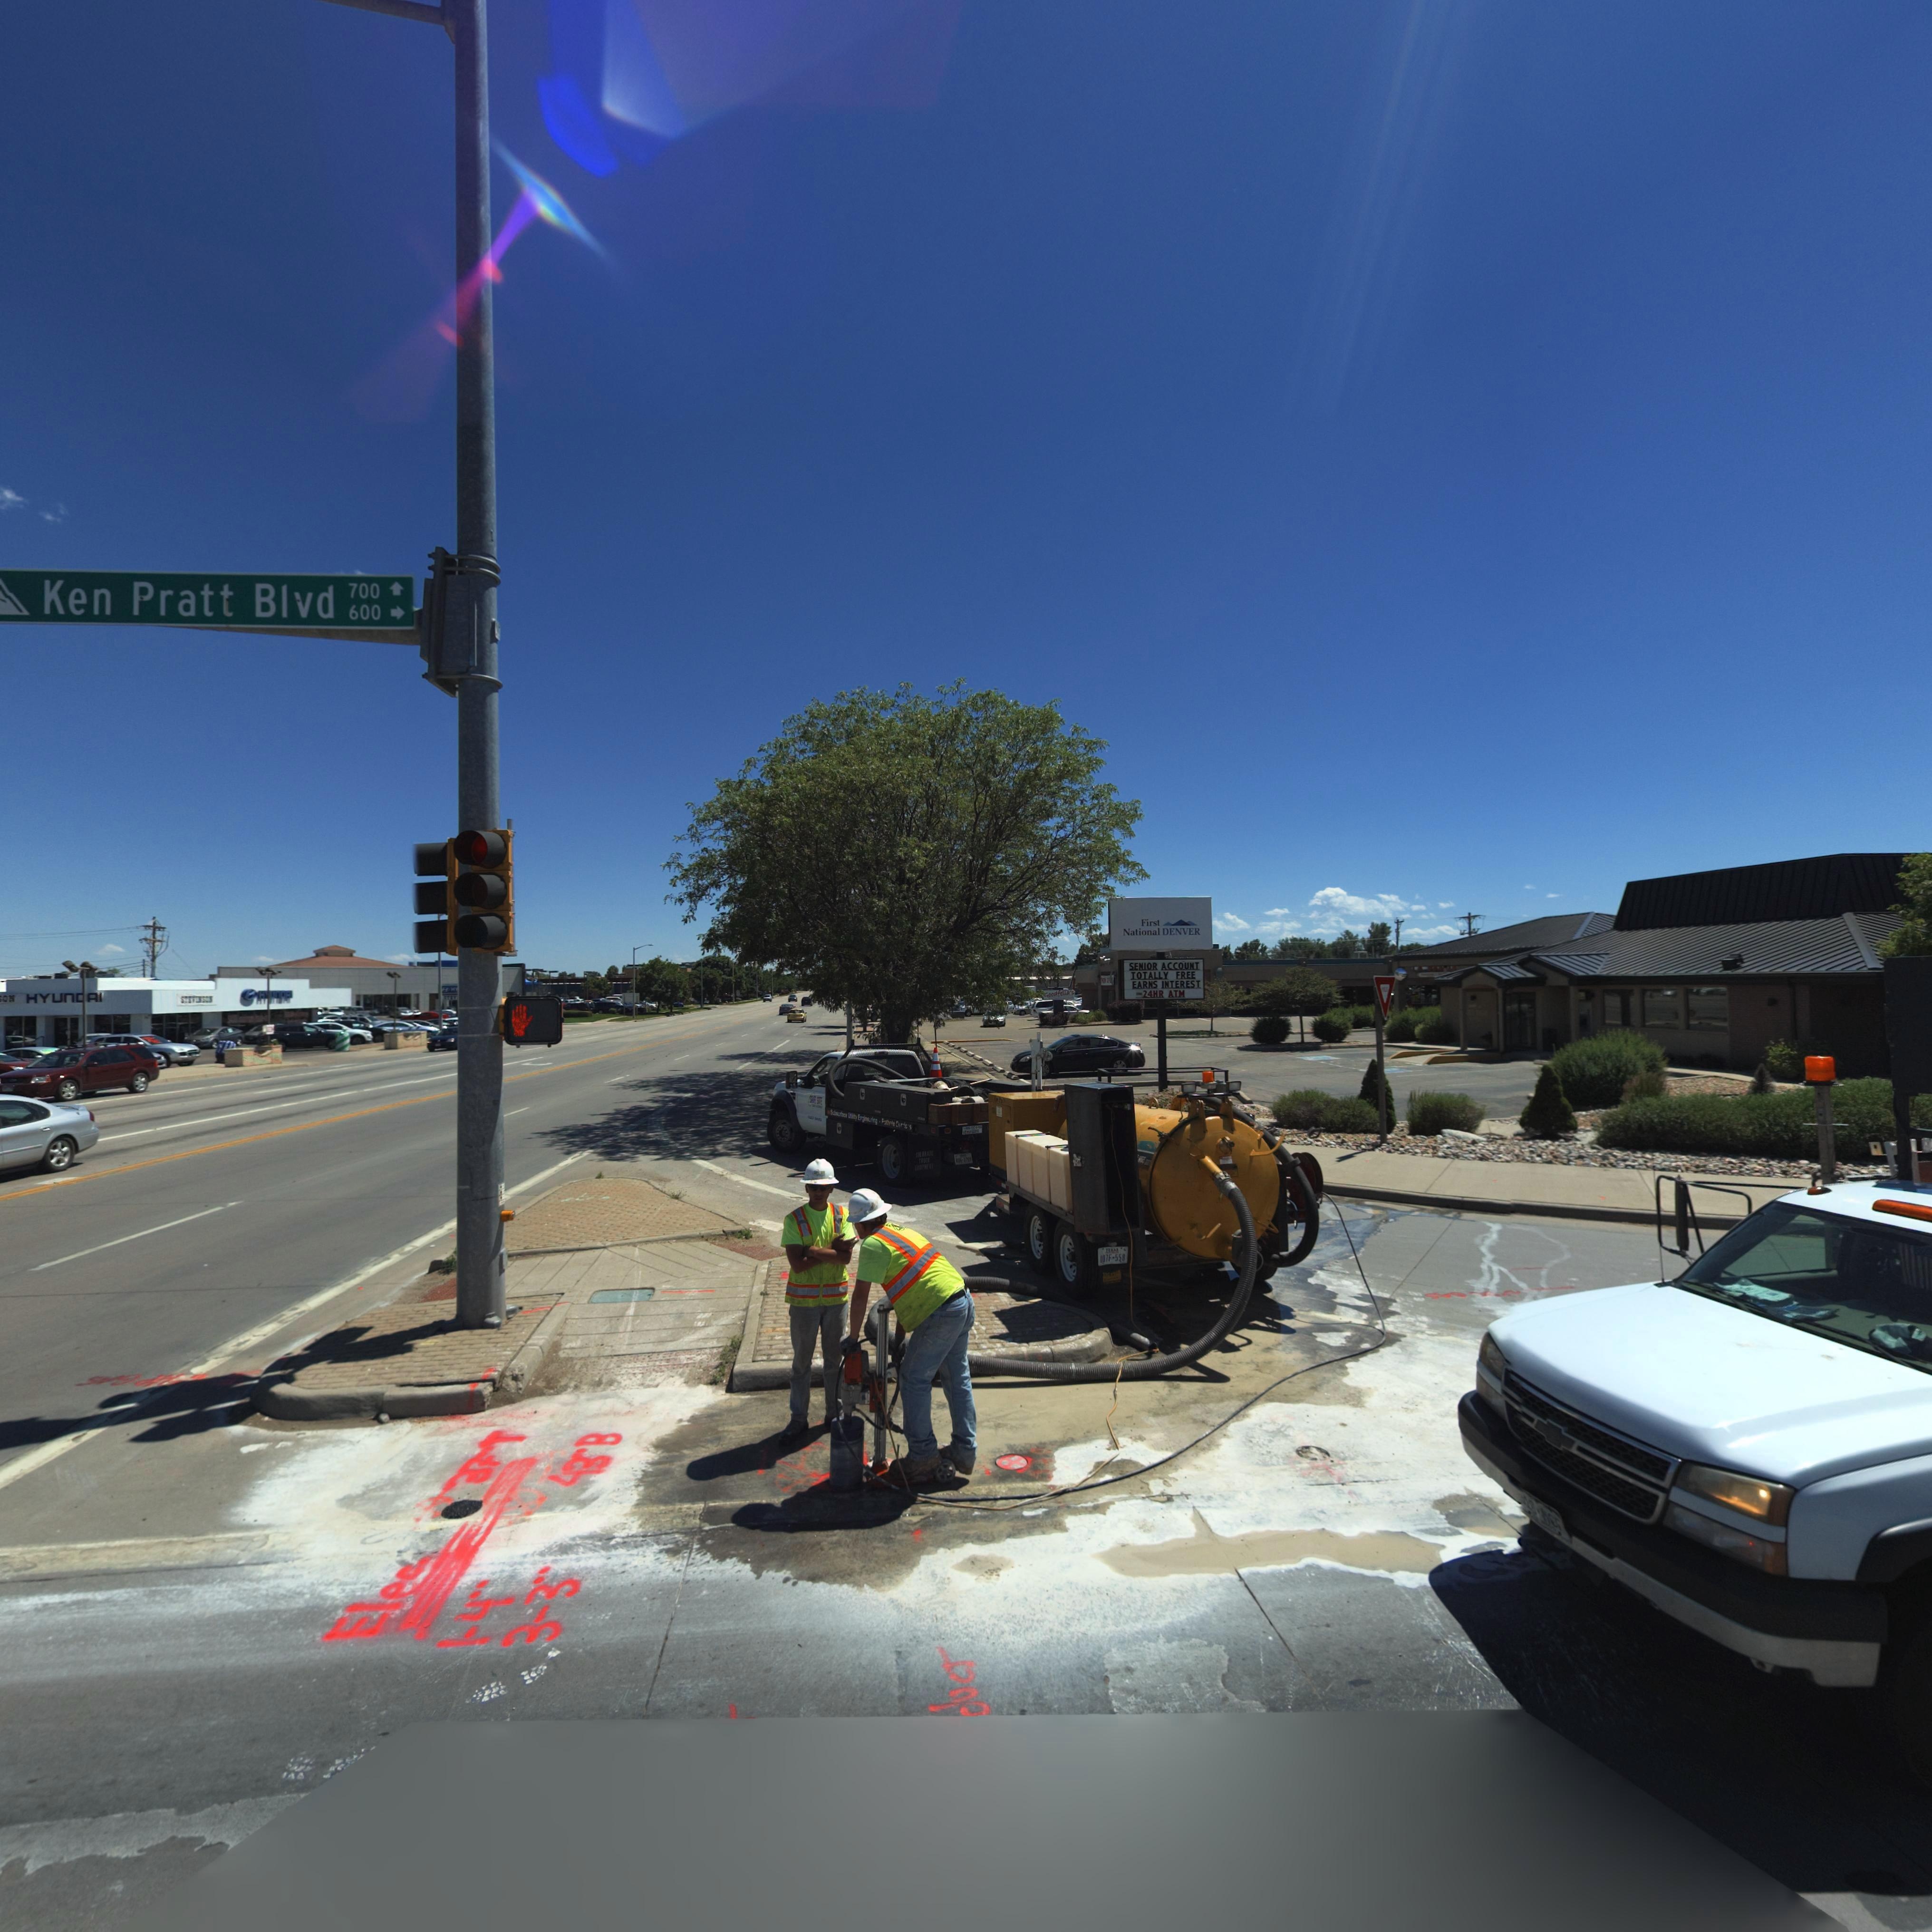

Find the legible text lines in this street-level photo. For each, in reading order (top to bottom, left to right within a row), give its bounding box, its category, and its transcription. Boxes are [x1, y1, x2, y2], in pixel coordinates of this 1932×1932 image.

[347, 582, 382, 600] StreetNumberRange: 700
[41, 578, 336, 619] StreetName: Ken Pratt Blvd
[348, 603, 406, 620] StreetNumberRange: 600 ->
[1140, 918, 1160, 927] BusinessName: First
[1122, 927, 1201, 937] BusinessName: National DENVER
[450, 986, 455, 991] BusinessName: H
[2, 995, 15, 1003] BusinessName: ON
[25, 992, 104, 1005] BusinessName: HYUNDAI
[180, 995, 213, 1003] BusinessName: STE*I*SO*
[259, 990, 293, 998] BusinessName: H*UNDAI
[444, 995, 457, 1000] BusinessName: S***
[1043, 990, 1074, 997] BusinessName: Goodfella's